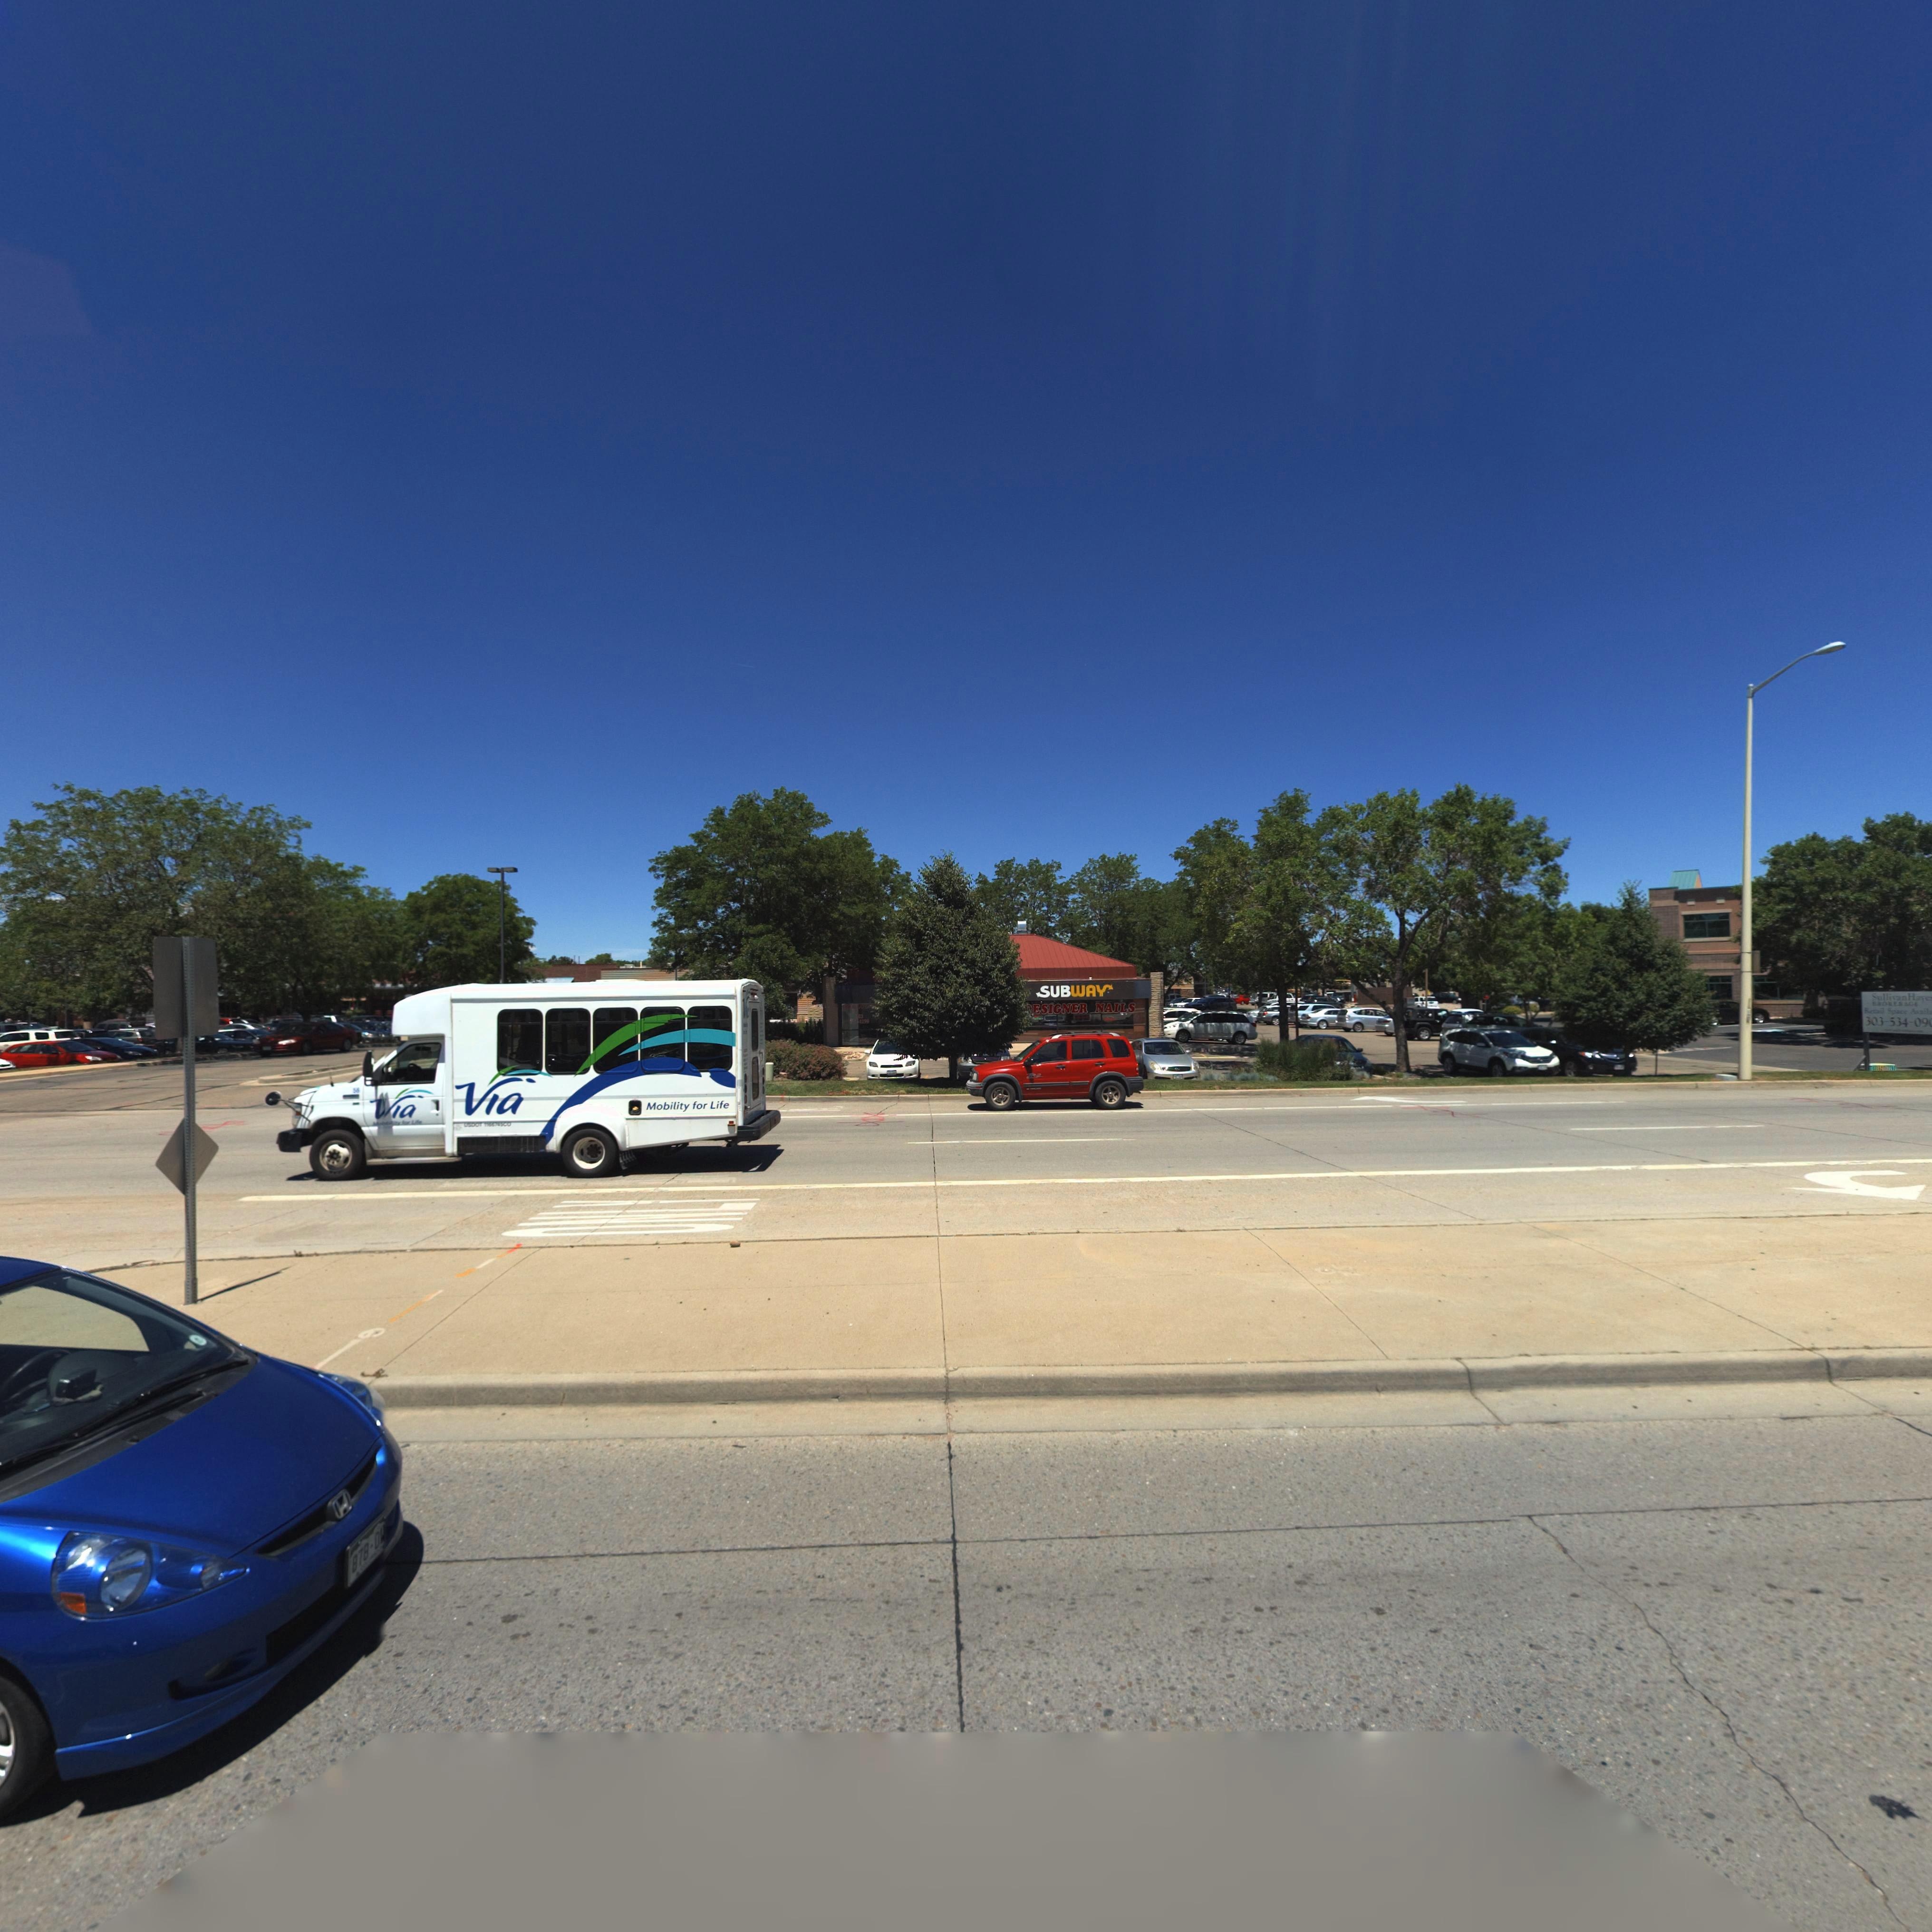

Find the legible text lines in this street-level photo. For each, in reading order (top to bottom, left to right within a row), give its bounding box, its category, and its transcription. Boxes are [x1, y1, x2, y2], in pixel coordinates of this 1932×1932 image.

[1035, 984, 1114, 998] BusinessName: SUBWAY
[1024, 1002, 1136, 1014] BusinessName: *ESIGNER NAILS